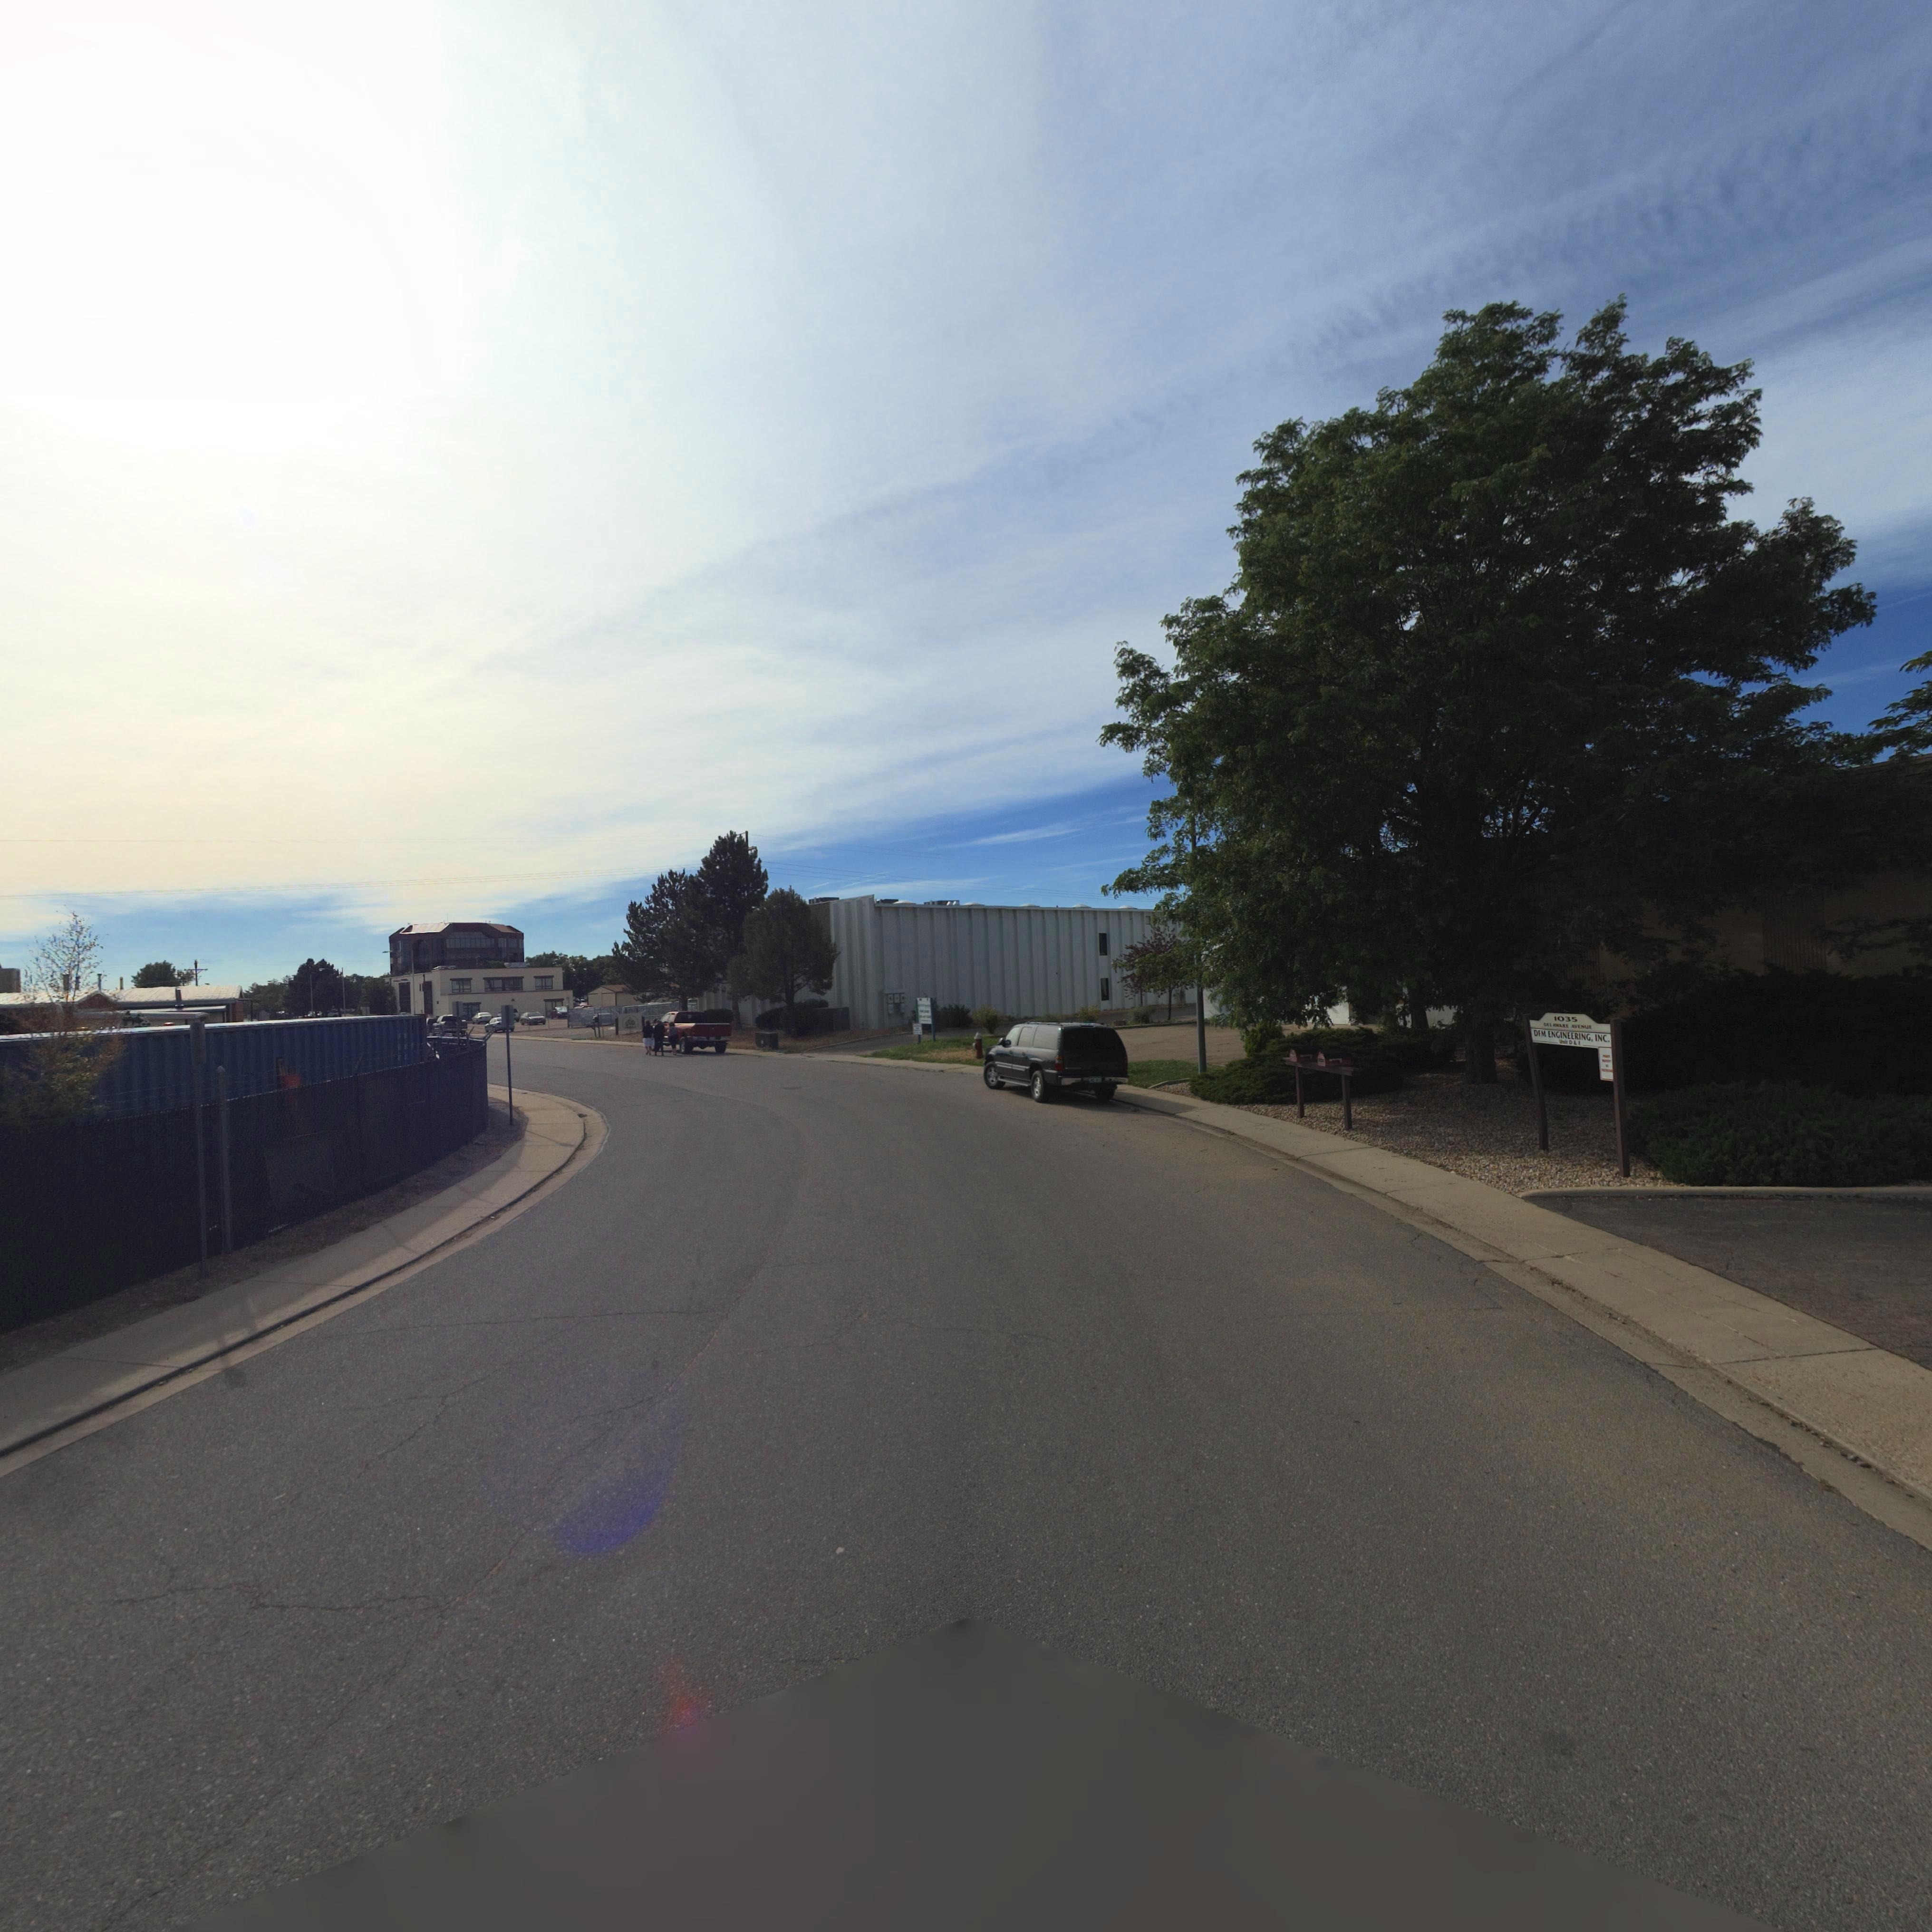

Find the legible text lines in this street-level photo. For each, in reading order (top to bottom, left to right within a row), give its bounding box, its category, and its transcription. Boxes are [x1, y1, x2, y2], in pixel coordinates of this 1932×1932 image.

[1553, 1016, 1578, 1022] StreetNumber: 1035
[1543, 1022, 1592, 1029] StreetName: ******R* AVENU*
[1533, 1029, 1610, 1042] BusinessName: DFM ENGINEERING, INC.
[1559, 1039, 1581, 1045] SecondaryUnitDesignator: U**T D * *